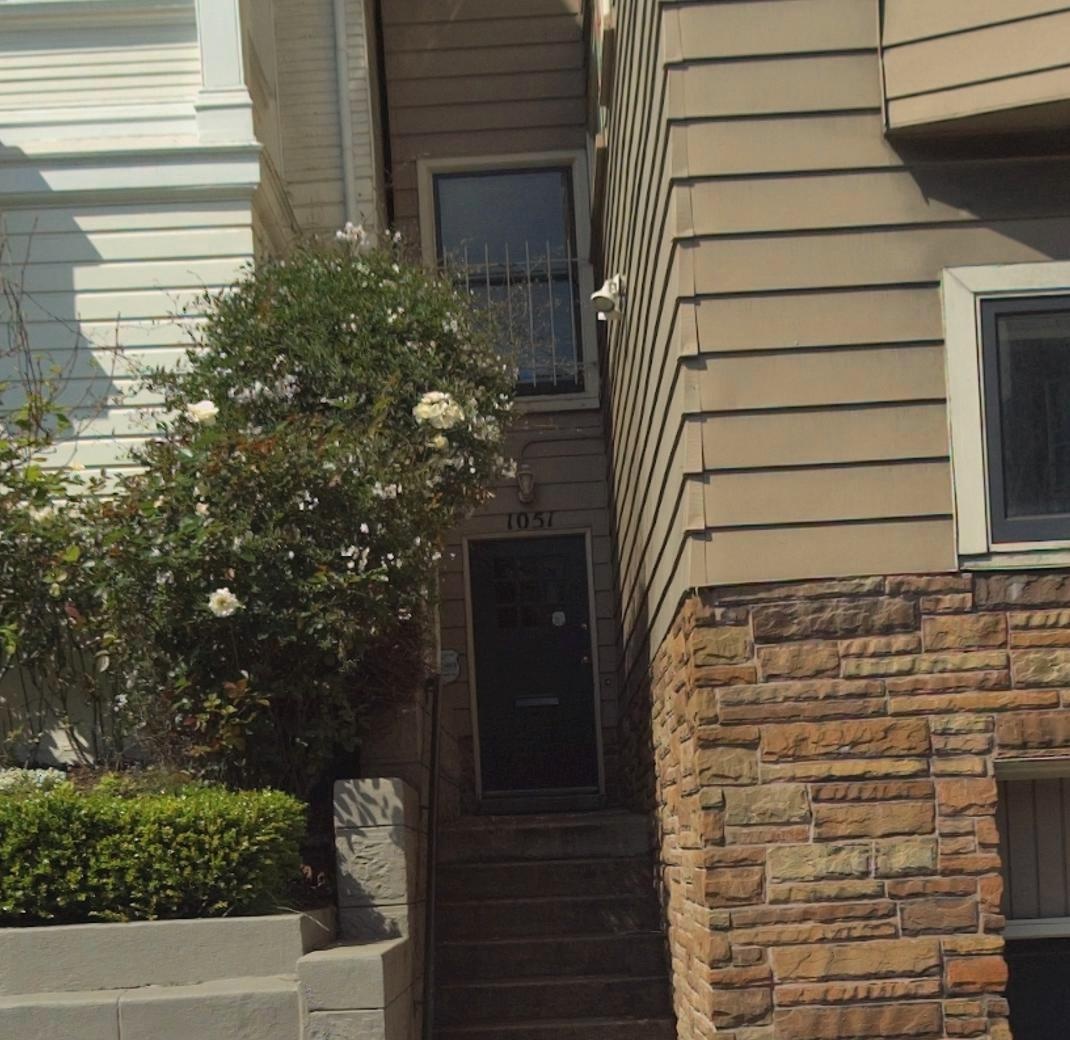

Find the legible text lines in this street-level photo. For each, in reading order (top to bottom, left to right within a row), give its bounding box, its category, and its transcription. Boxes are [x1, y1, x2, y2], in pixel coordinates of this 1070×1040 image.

[503, 508, 557, 532] StreetNumber: 1051